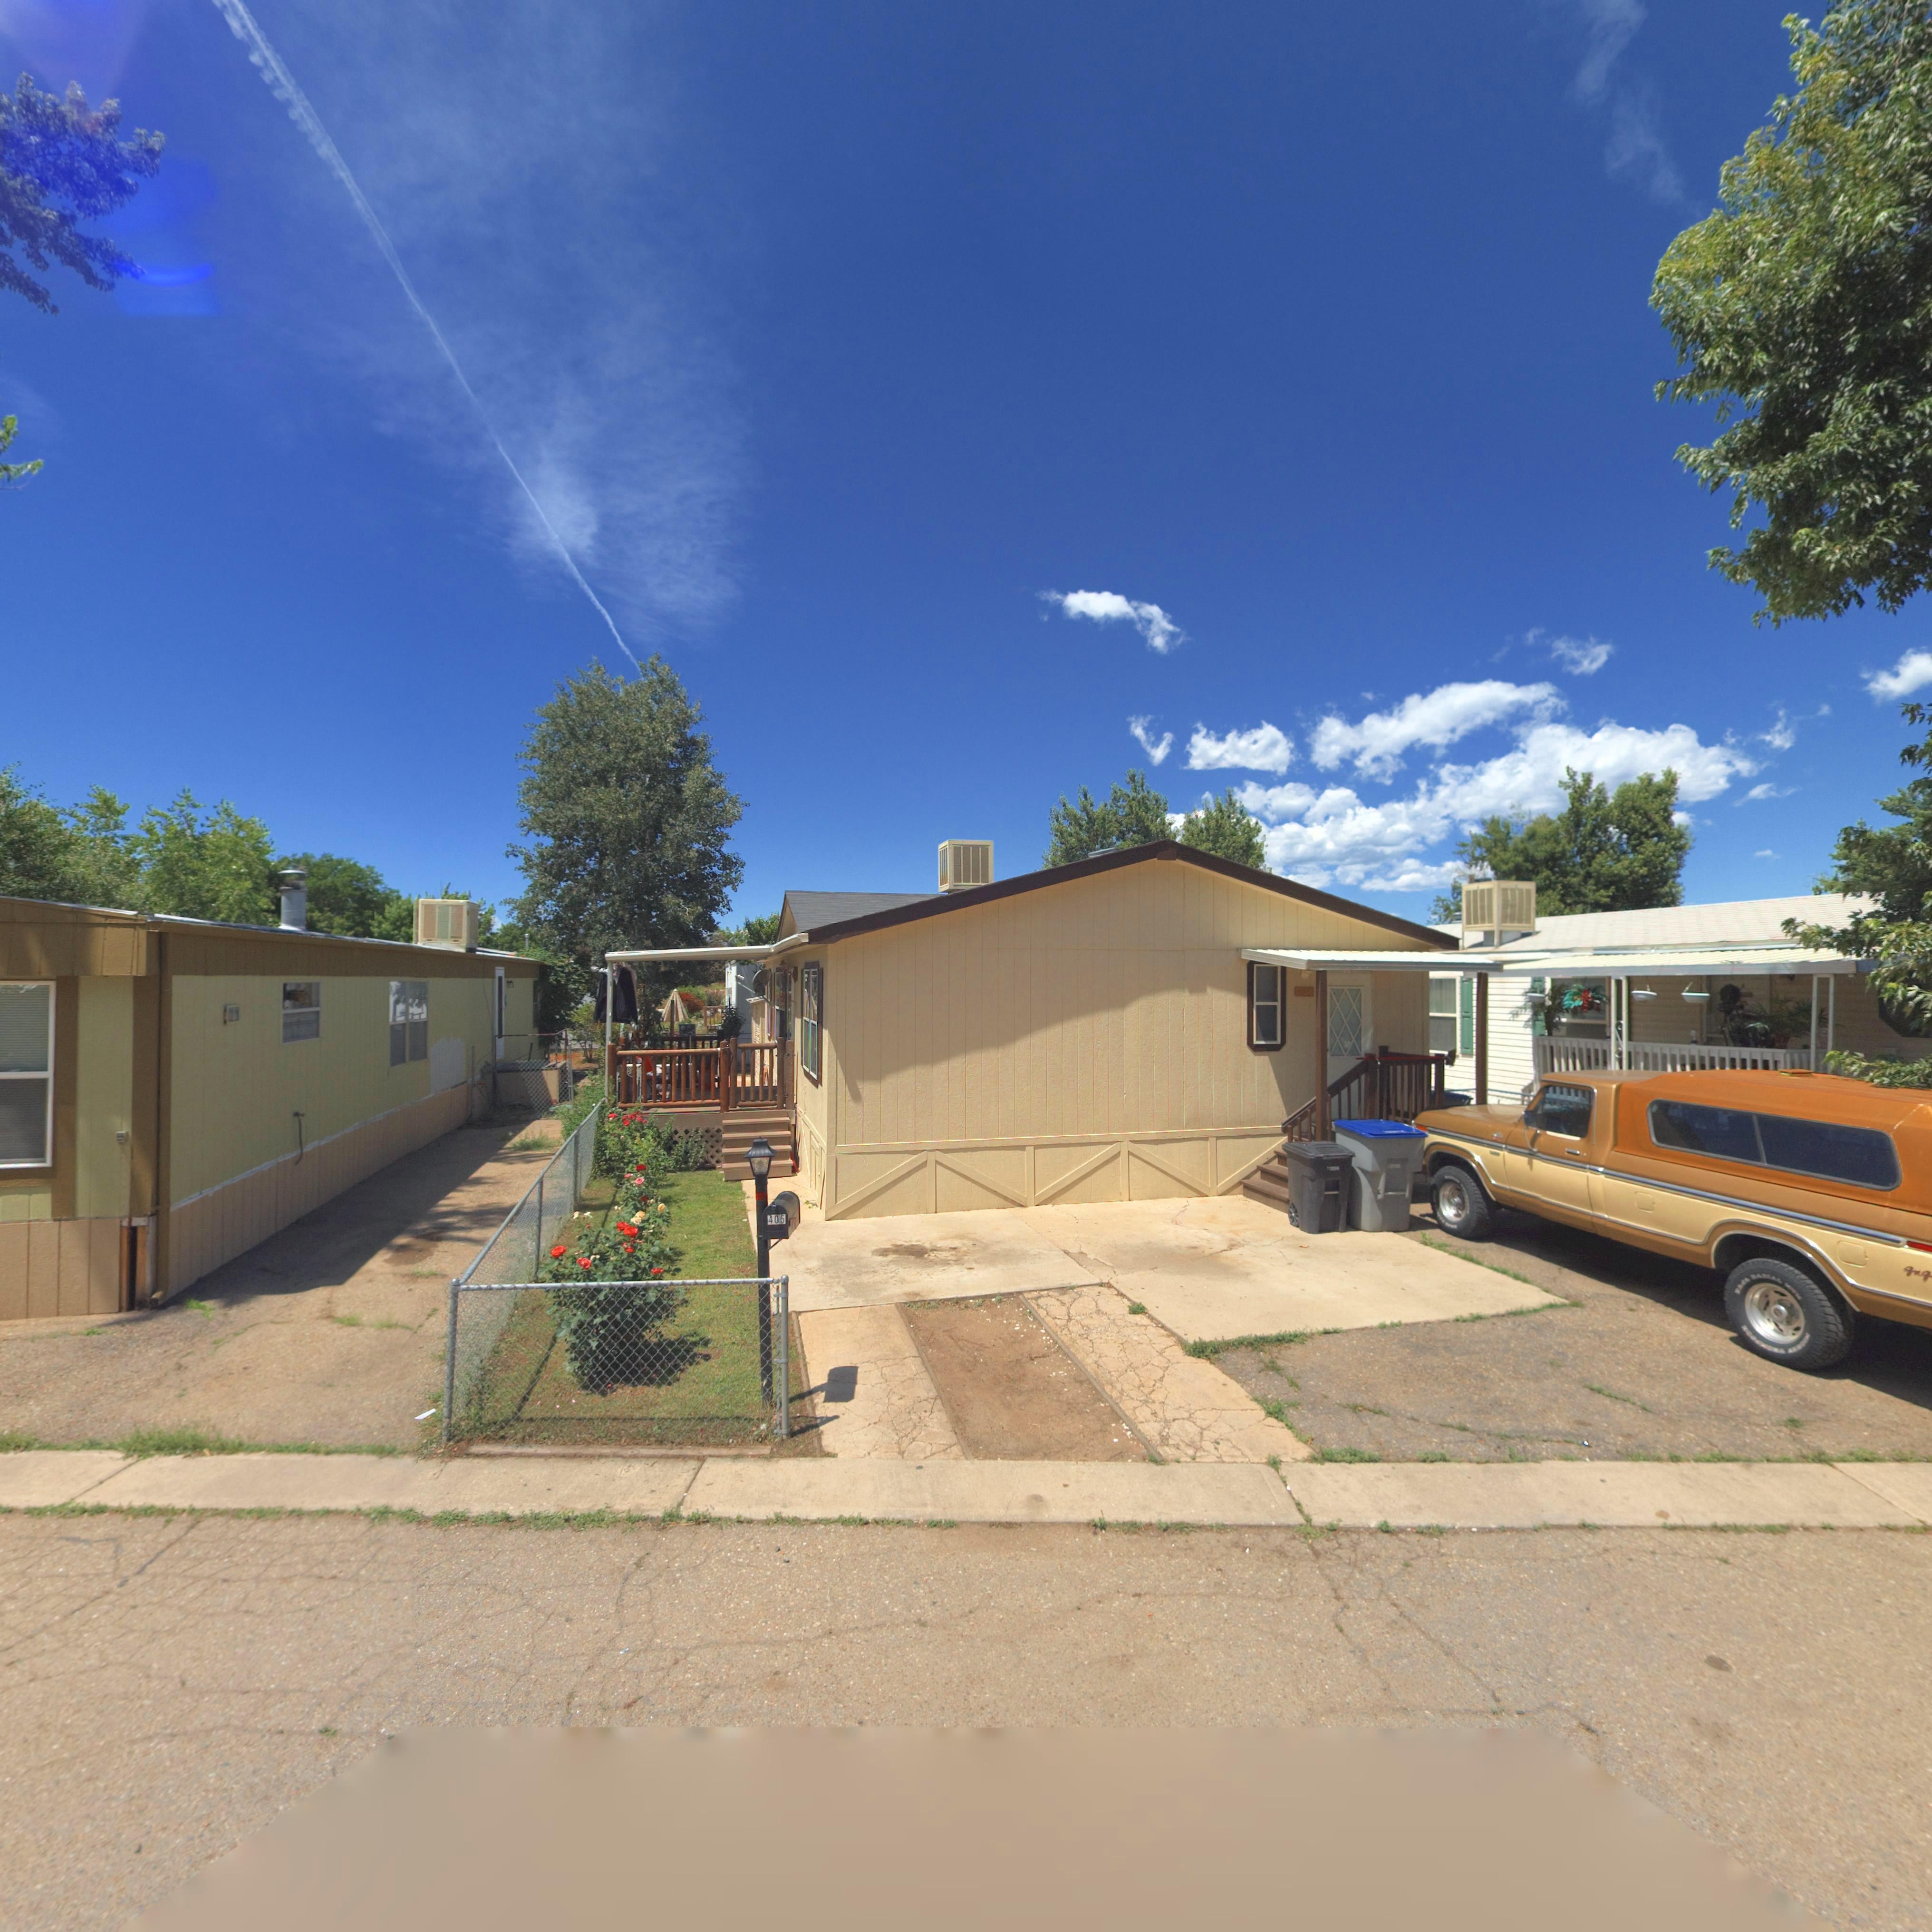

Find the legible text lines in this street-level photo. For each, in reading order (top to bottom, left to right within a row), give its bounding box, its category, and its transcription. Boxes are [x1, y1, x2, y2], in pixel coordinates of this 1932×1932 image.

[768, 1214, 784, 1224] StreetNumber: 405